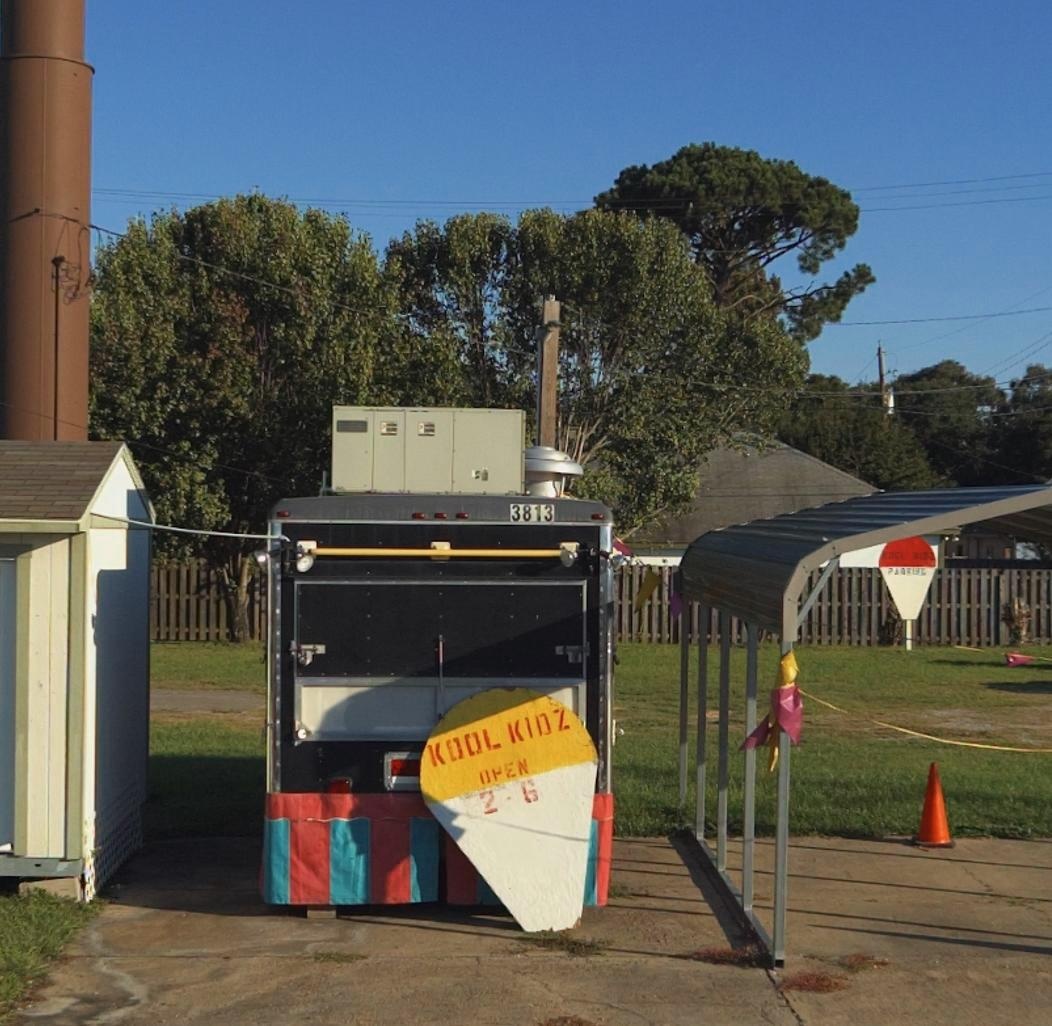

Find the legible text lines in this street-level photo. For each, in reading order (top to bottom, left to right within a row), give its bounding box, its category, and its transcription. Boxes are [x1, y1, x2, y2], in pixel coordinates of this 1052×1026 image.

[508, 503, 555, 524] StreetNumber: 3813
[885, 564, 932, 578] None: PARKING
[422, 703, 575, 773] BusinessName: KOOL KIDZ
[475, 754, 535, 789] None: OPEN
[473, 775, 545, 822] None: 2 * 6